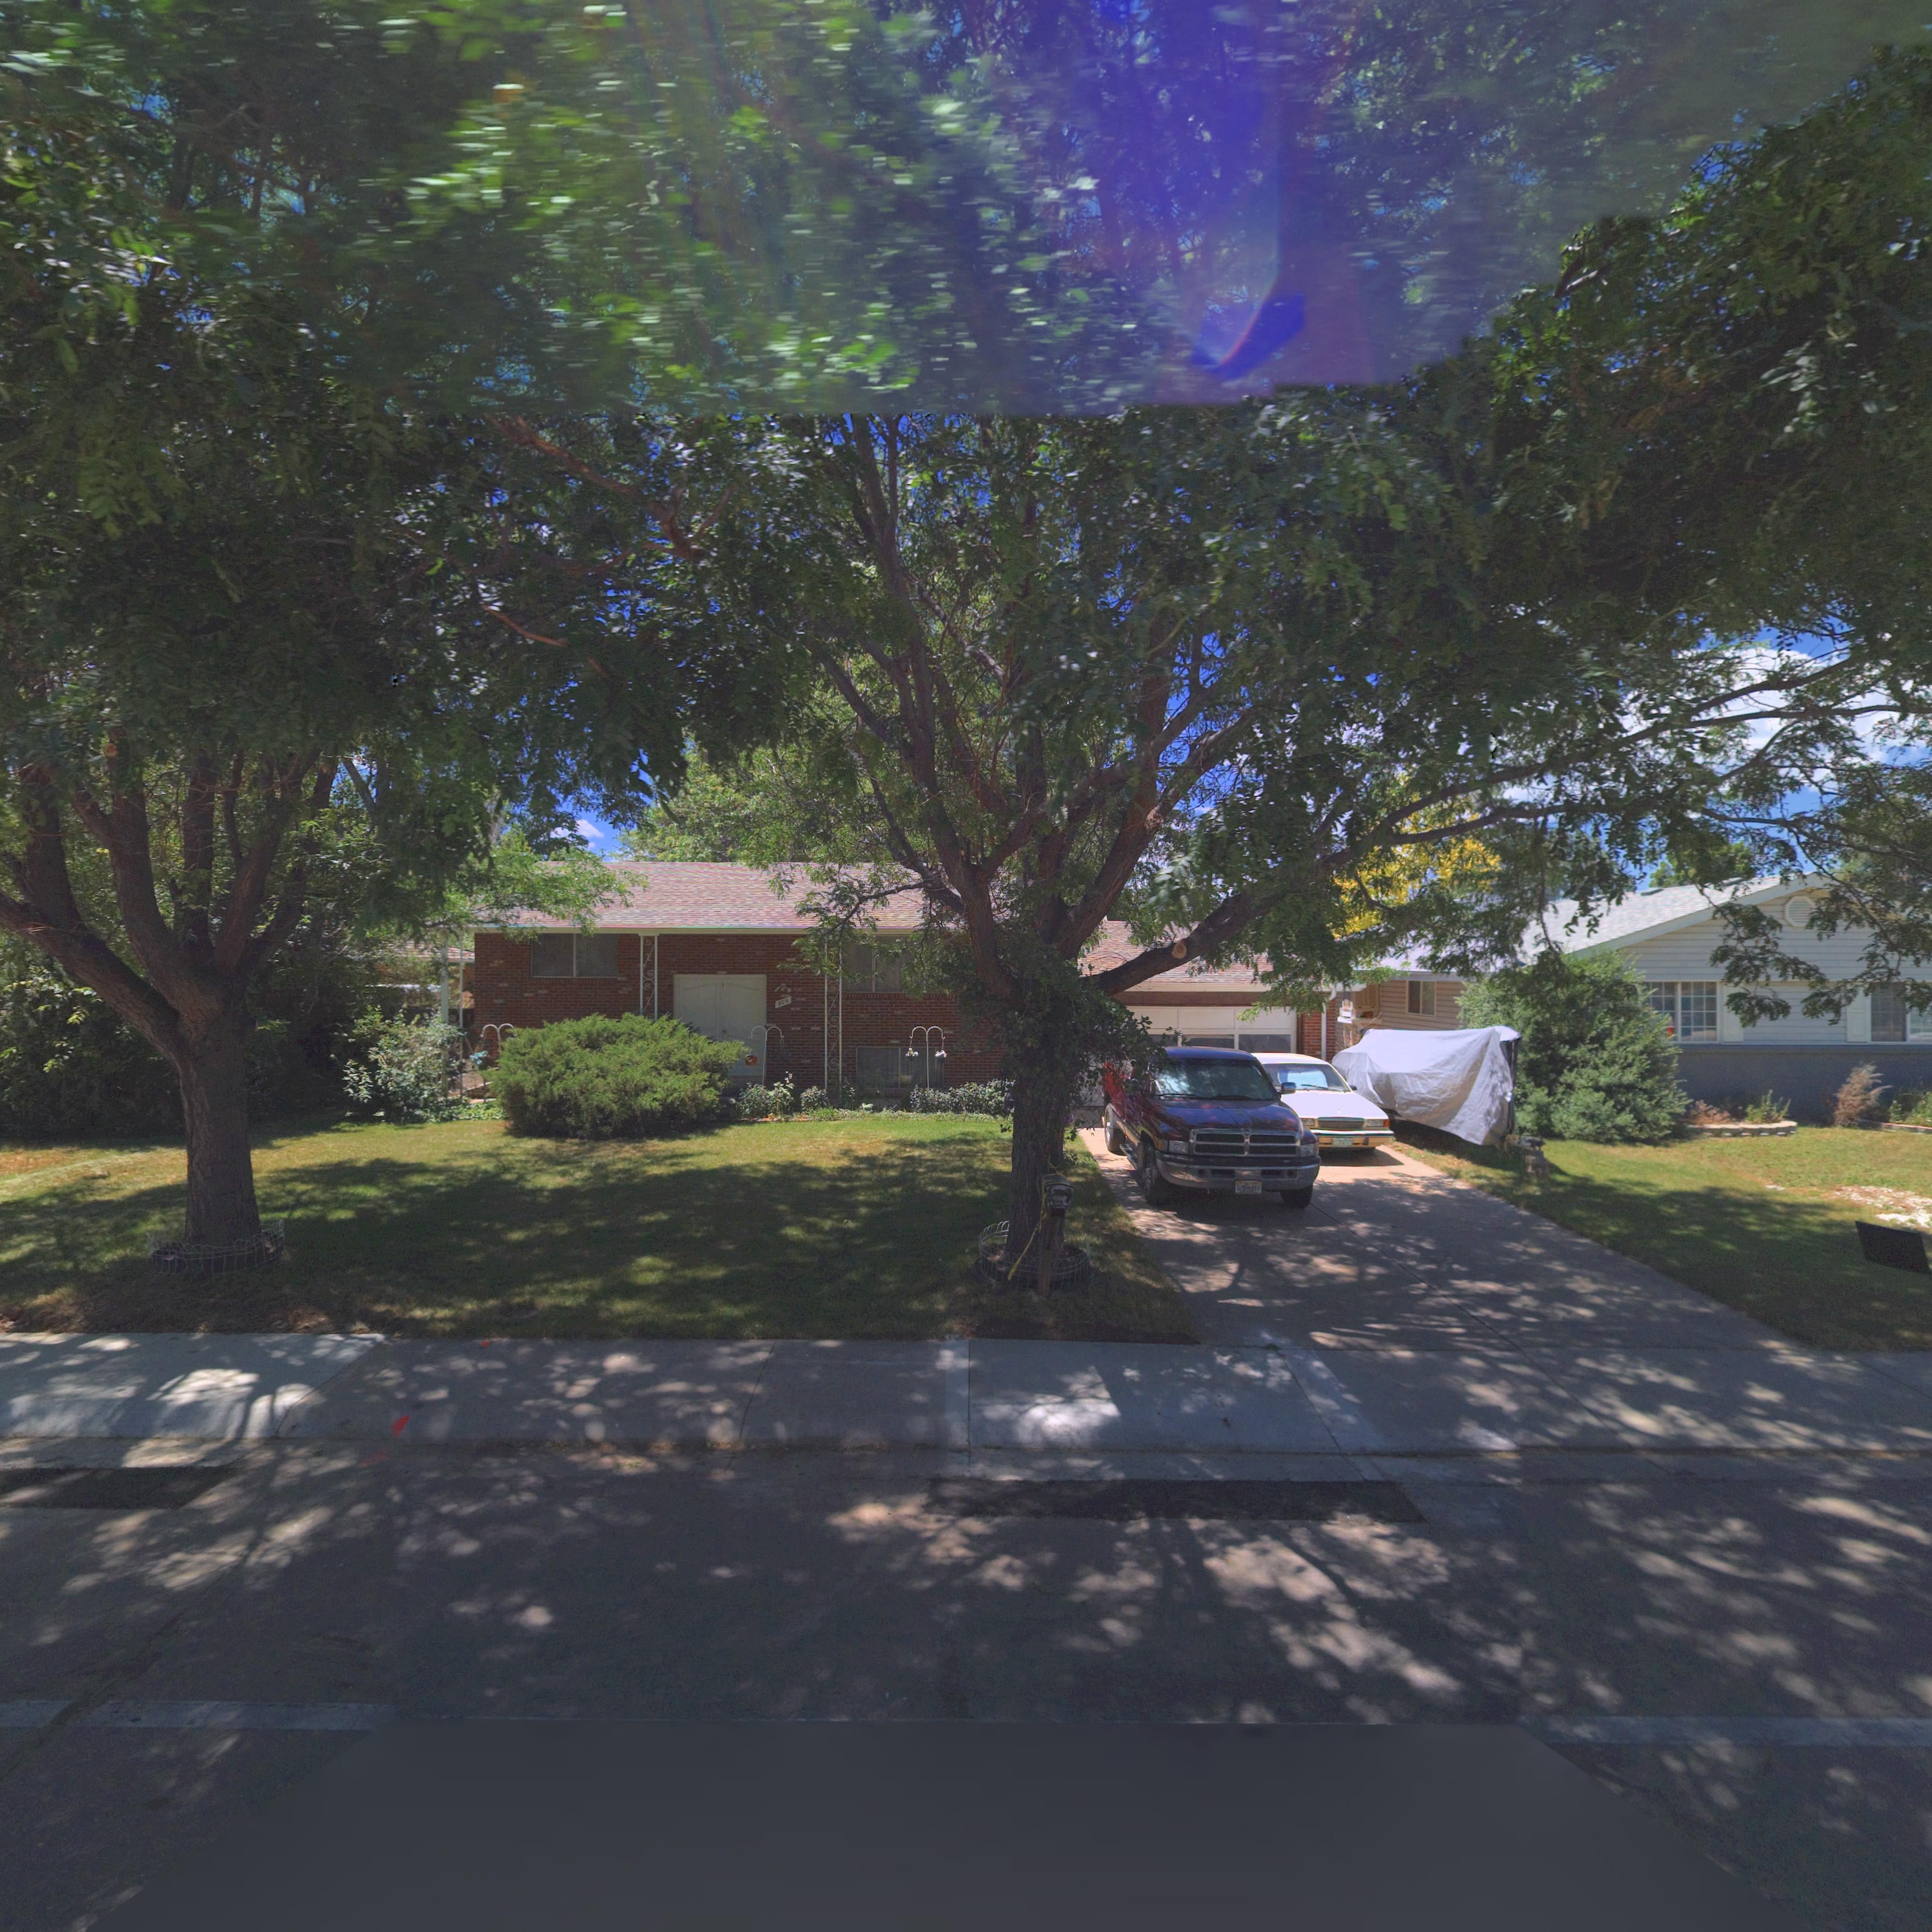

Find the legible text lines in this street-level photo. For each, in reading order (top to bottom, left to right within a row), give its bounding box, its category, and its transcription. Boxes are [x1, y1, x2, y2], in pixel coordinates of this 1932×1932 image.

[777, 998, 788, 1006] StreetNumber: 909